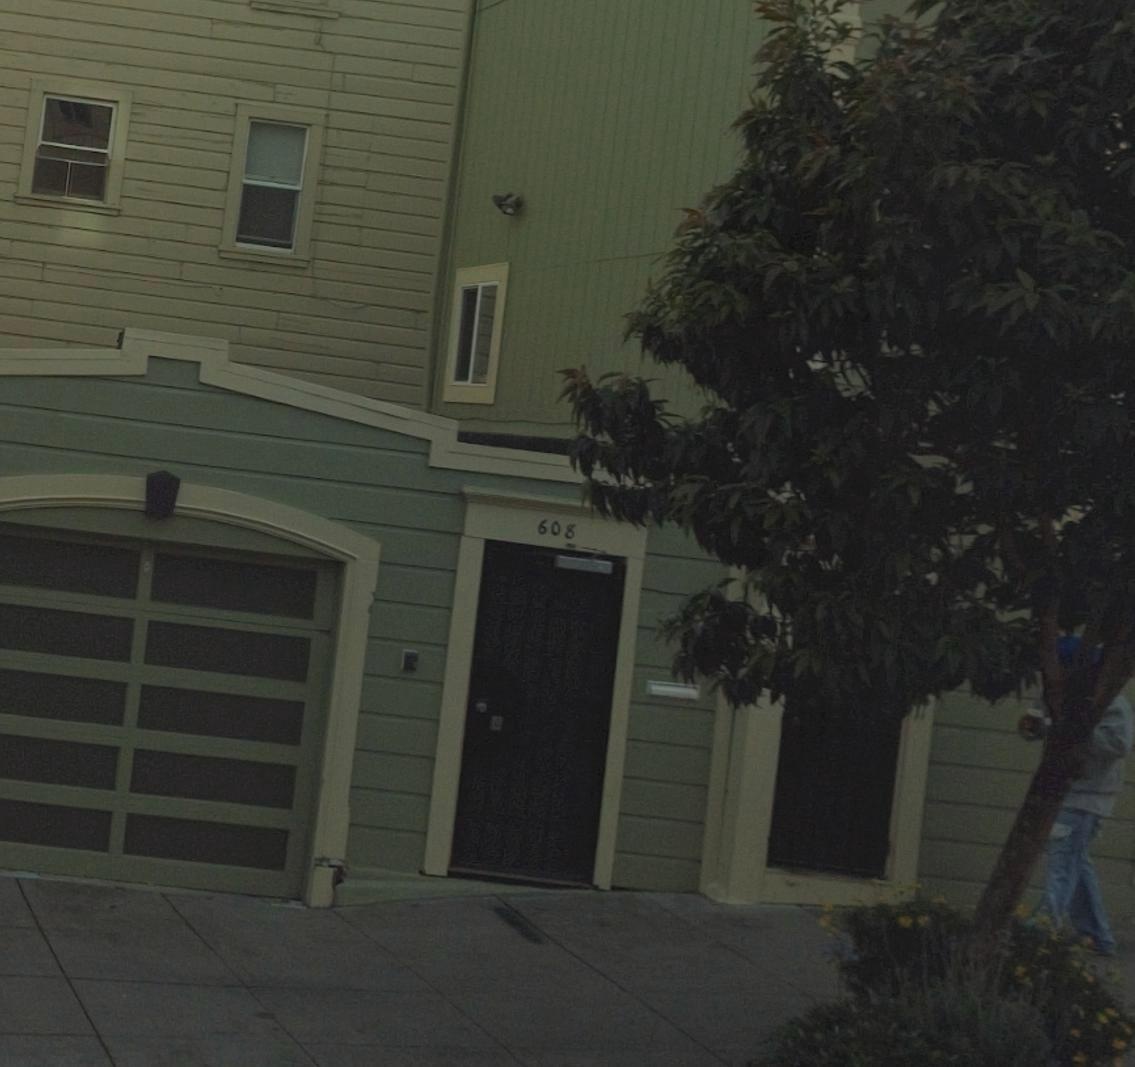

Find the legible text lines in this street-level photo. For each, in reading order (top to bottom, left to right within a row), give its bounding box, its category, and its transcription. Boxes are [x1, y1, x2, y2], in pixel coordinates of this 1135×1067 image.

[535, 515, 579, 542] StreetNumber: 608